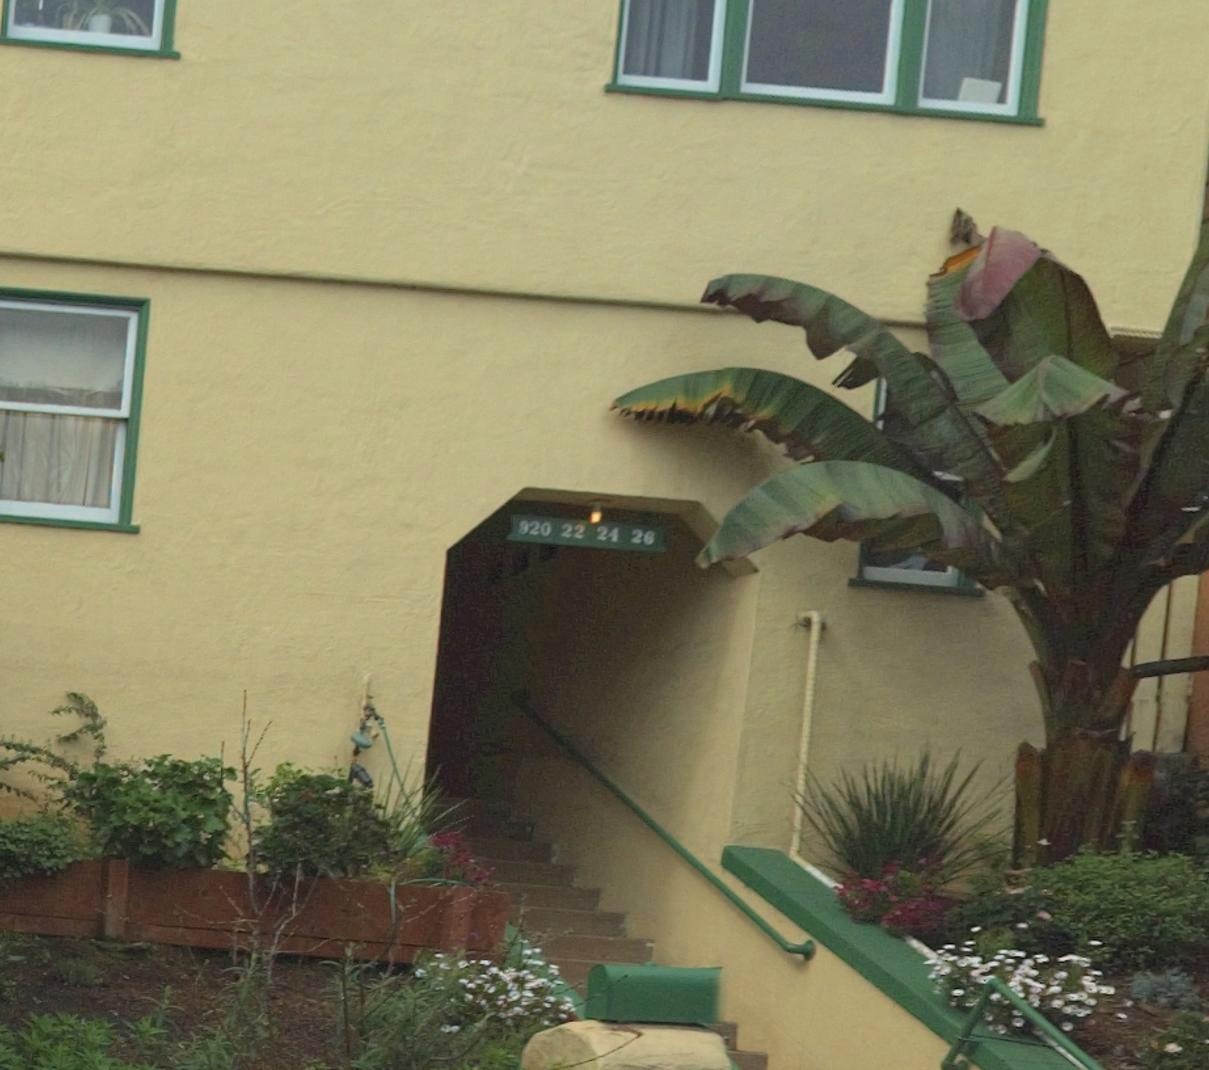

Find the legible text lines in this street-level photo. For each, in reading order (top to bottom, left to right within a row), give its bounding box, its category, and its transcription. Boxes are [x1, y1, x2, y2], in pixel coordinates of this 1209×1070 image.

[516, 519, 656, 546] StreetNumber: 920 22 24 26